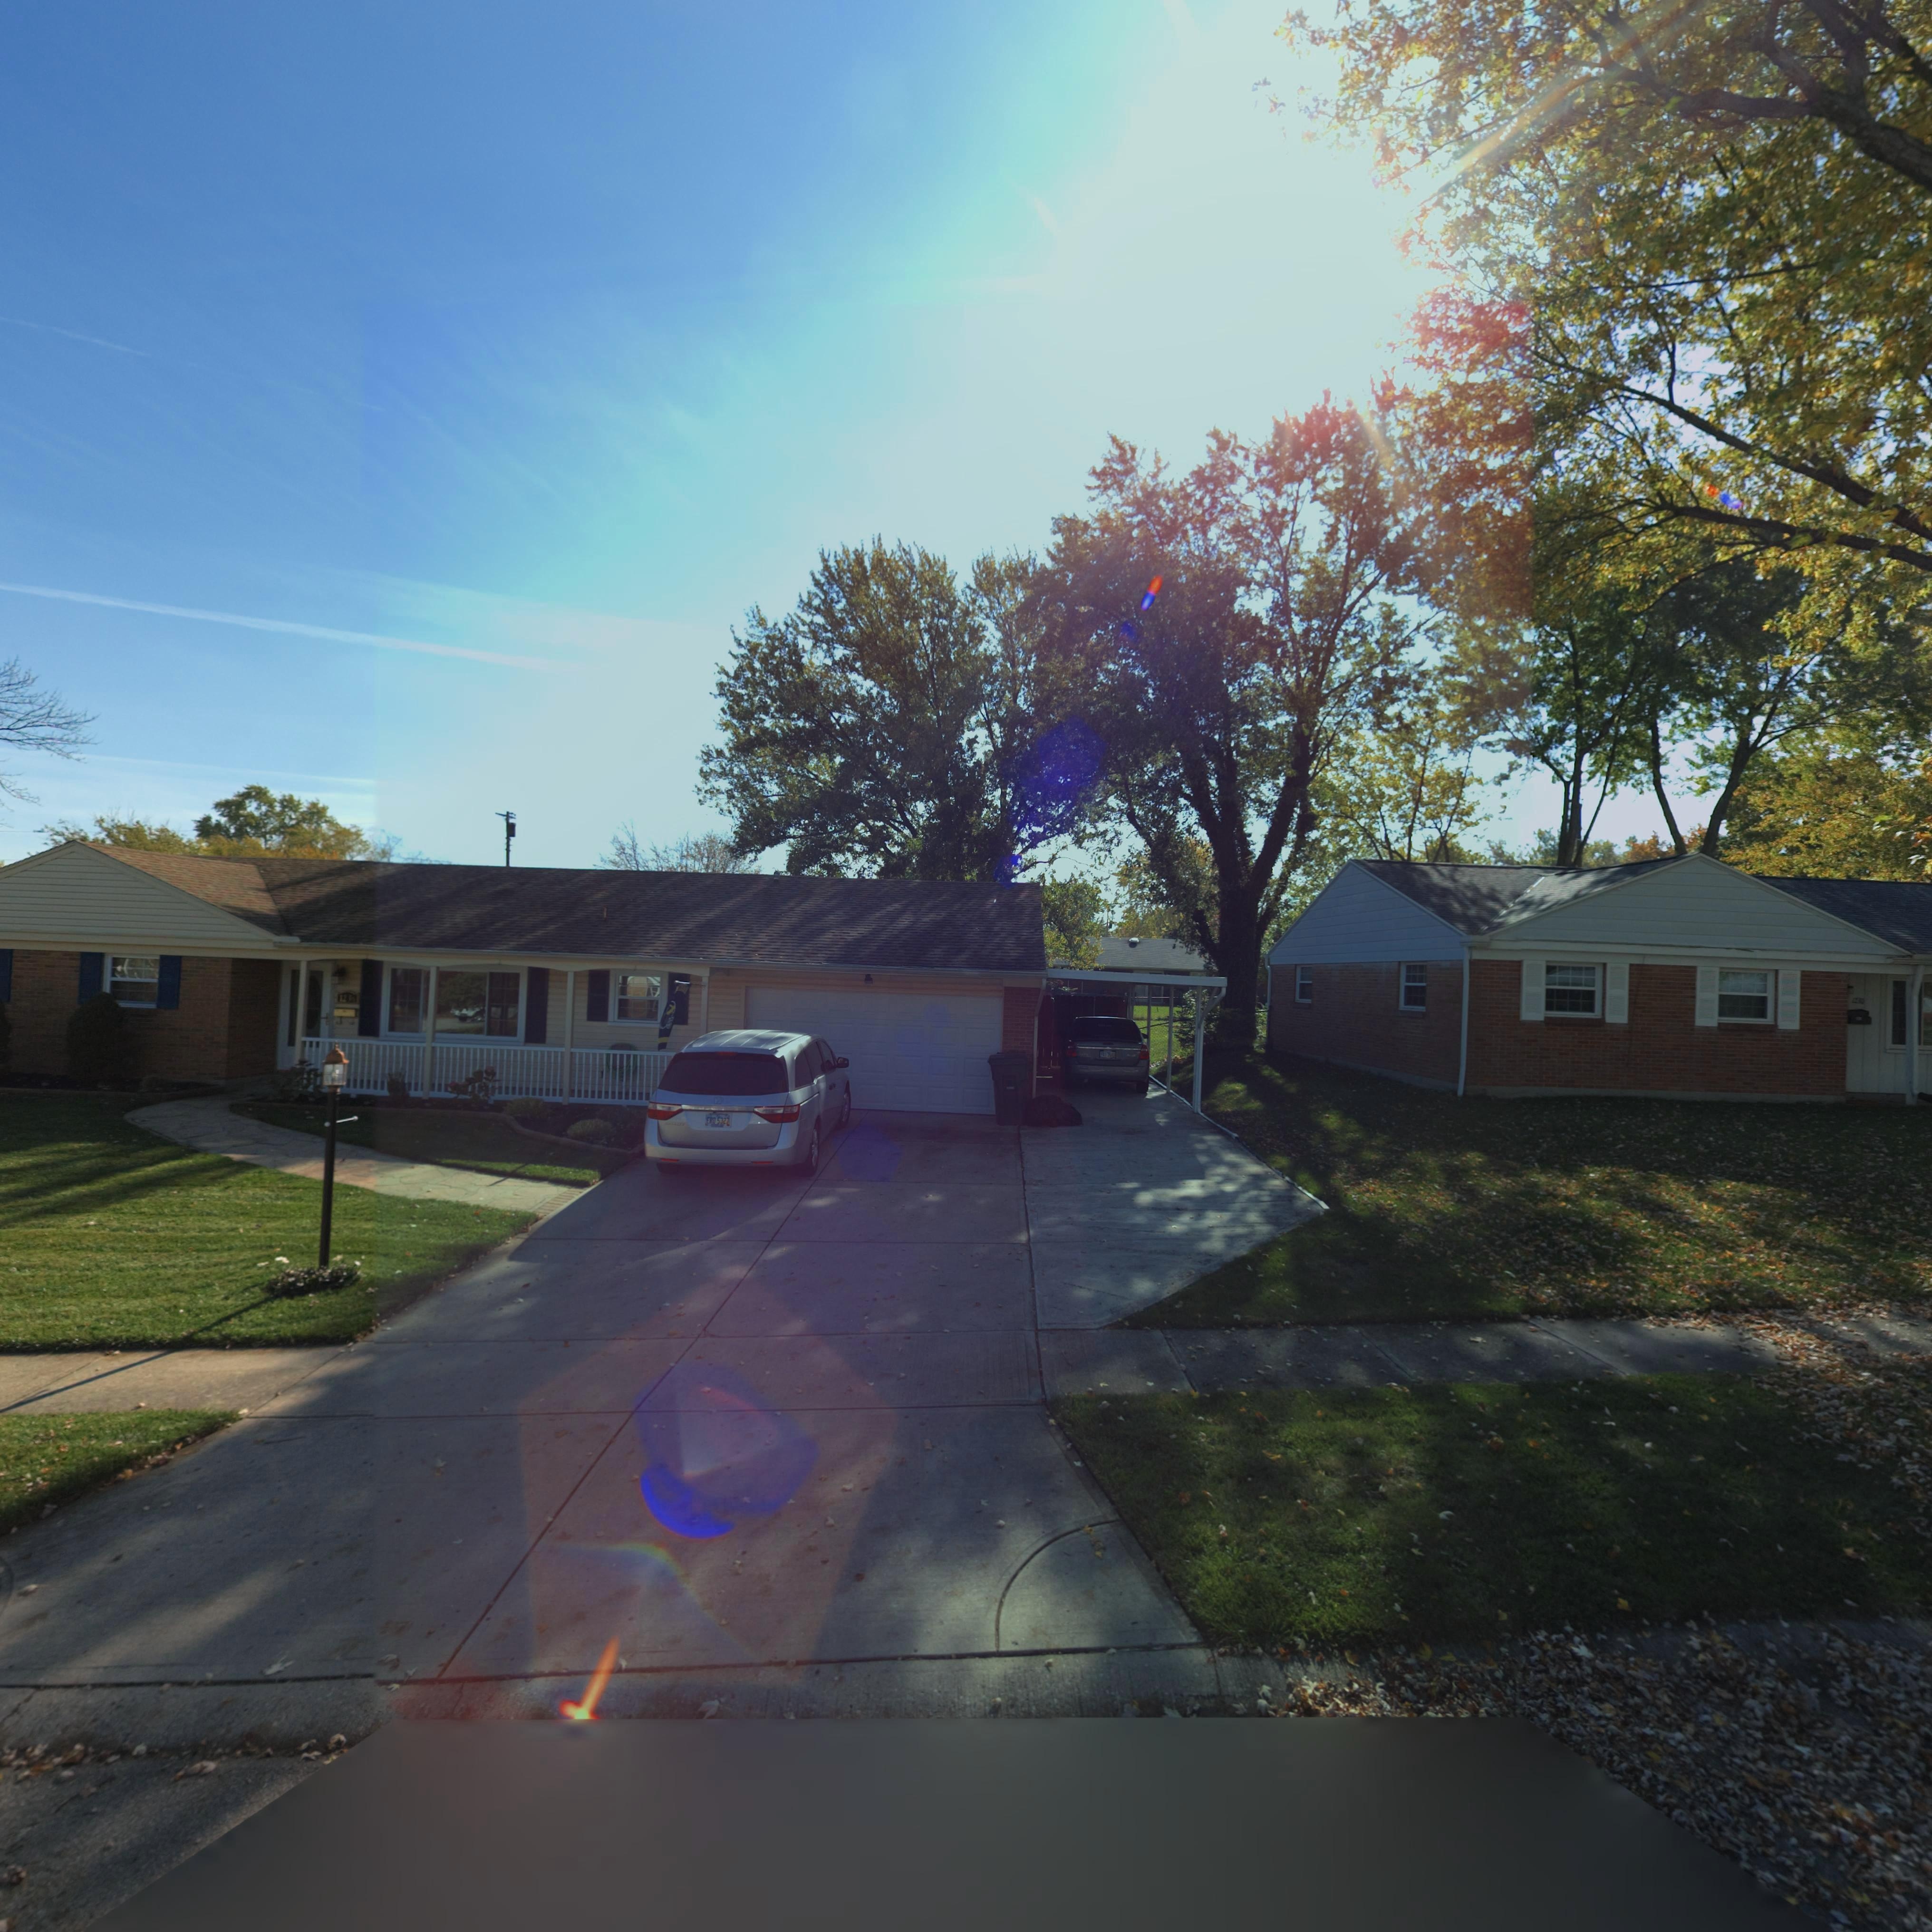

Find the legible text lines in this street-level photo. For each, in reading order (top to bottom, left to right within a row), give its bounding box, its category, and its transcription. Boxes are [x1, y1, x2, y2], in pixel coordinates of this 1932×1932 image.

[338, 995, 357, 1002] StreetNumber: 1236
[1851, 997, 1865, 1004] StreetNumber: 1230
[705, 1117, 730, 1124] None: ERD 5327